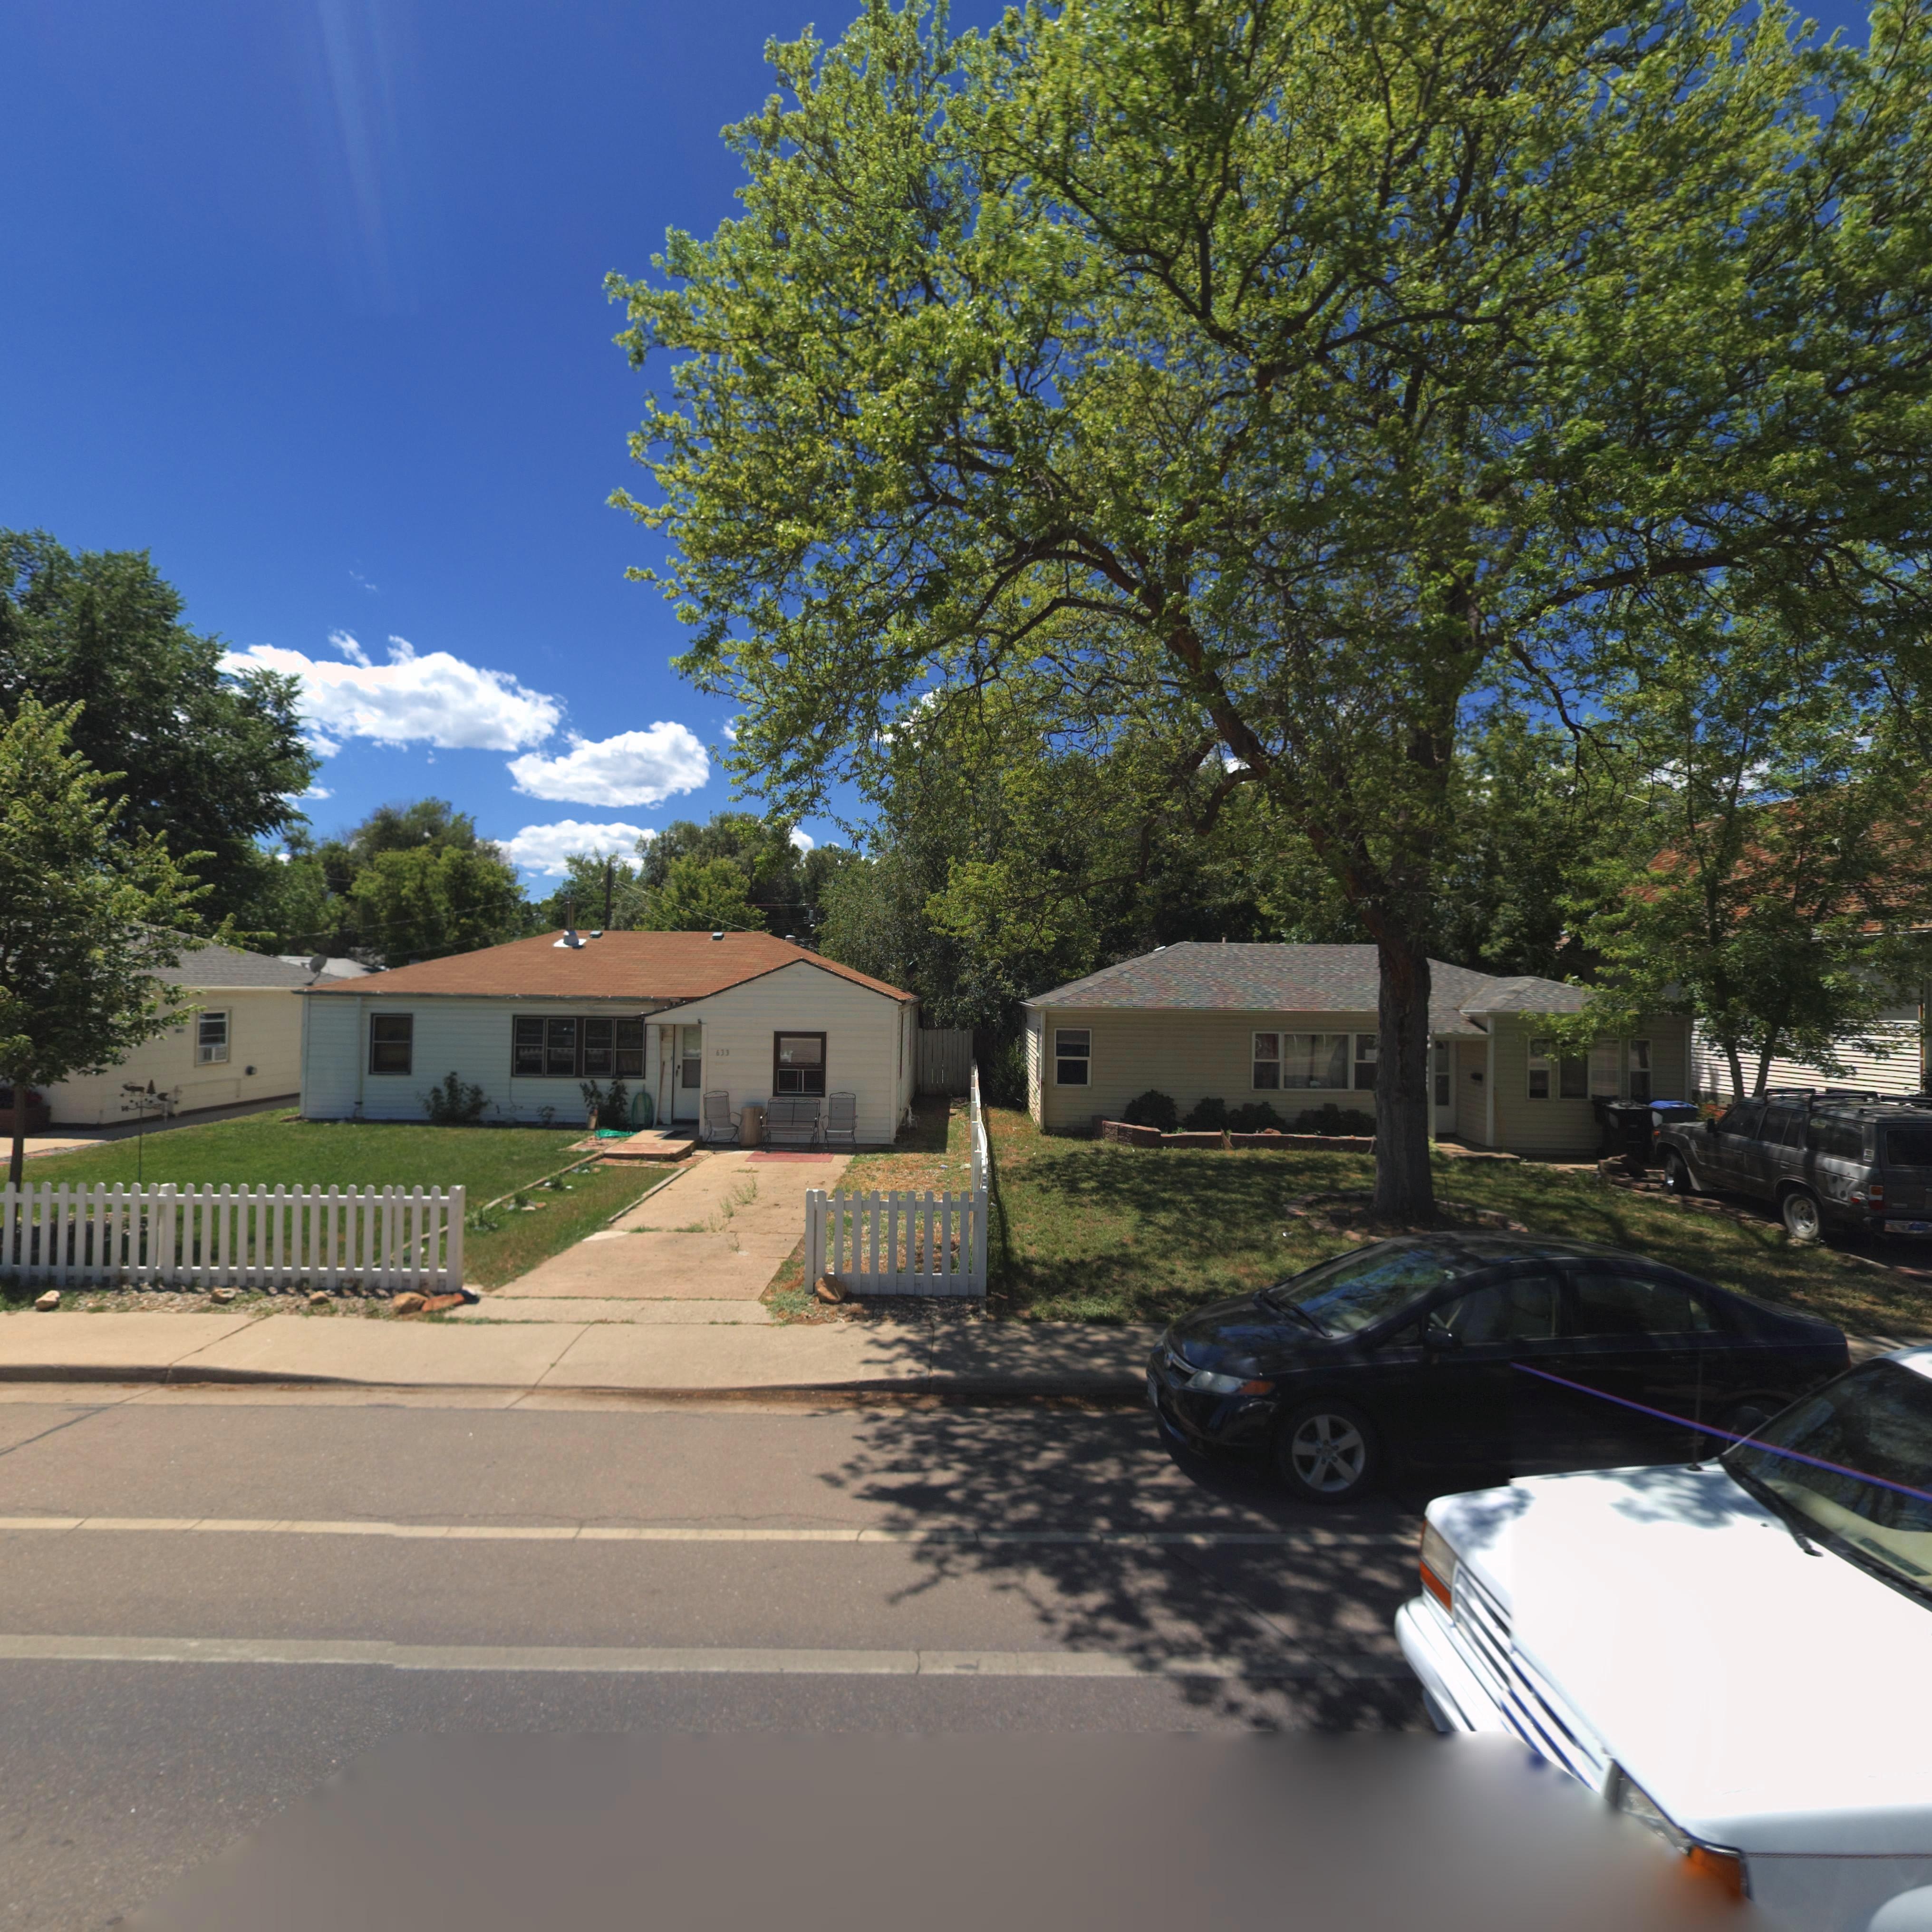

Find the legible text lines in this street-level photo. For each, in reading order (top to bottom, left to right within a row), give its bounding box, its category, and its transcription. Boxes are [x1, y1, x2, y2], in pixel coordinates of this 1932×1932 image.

[716, 1049, 729, 1056] StreetNumber: 633